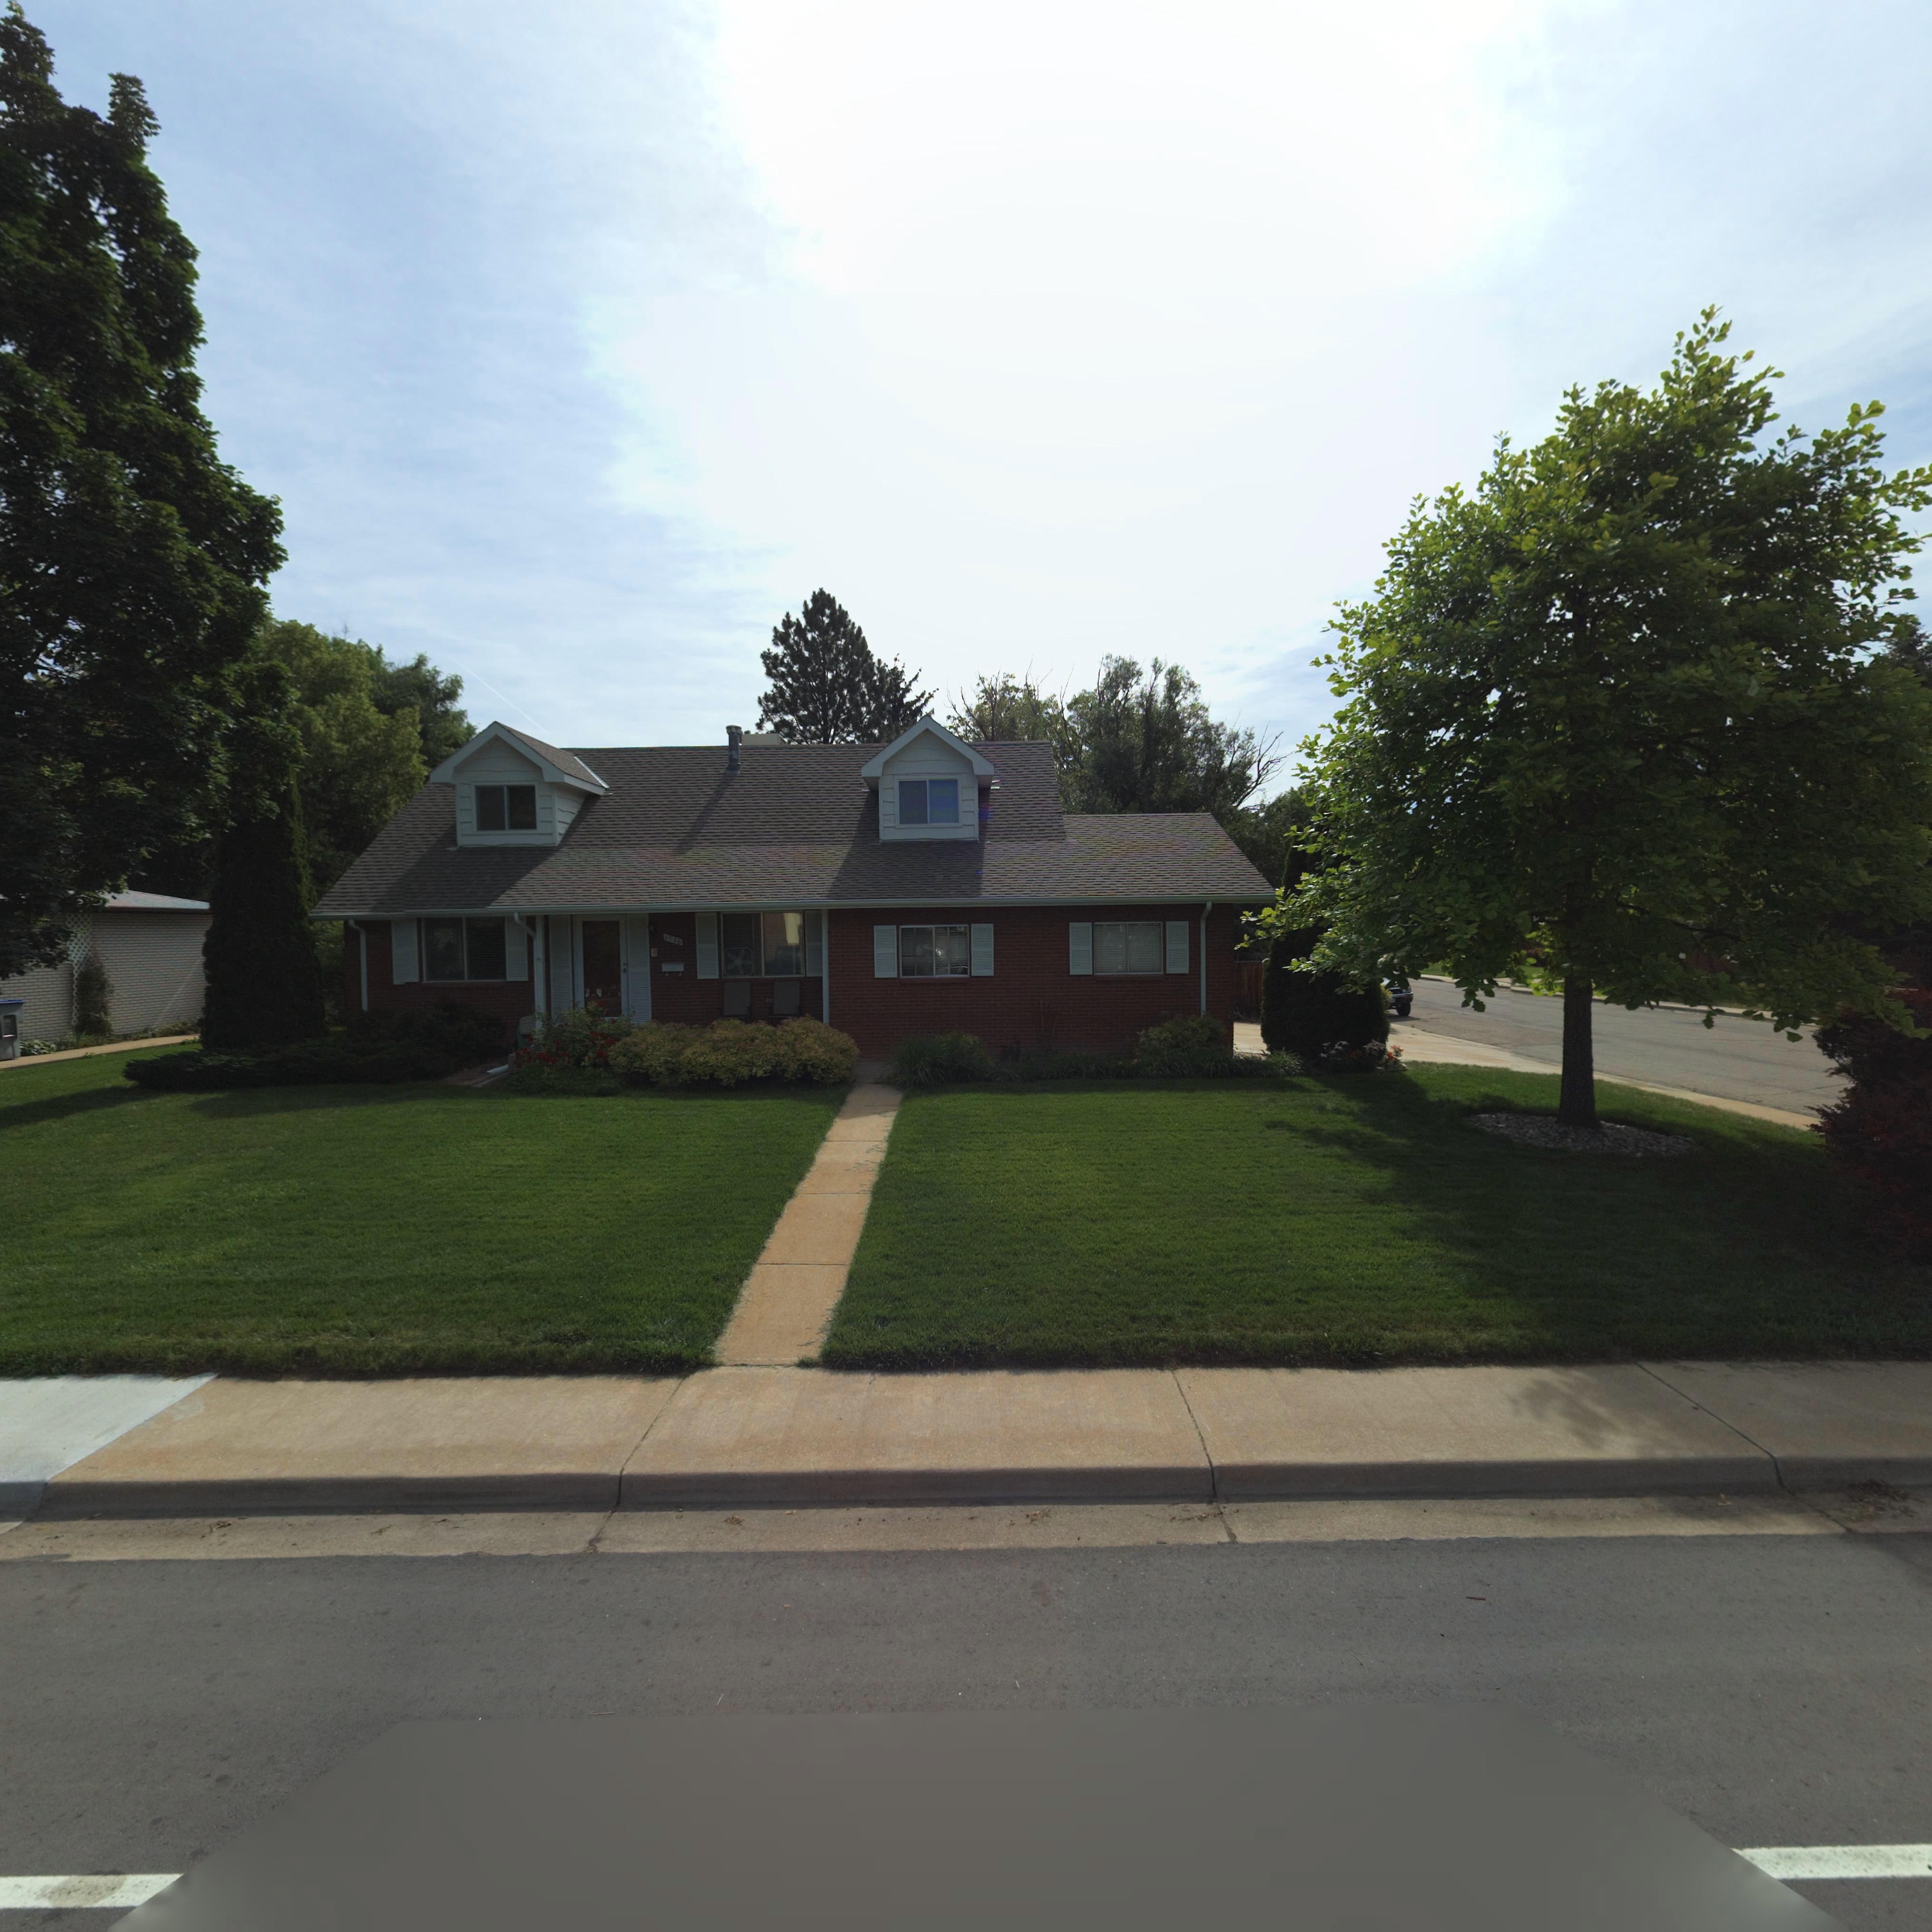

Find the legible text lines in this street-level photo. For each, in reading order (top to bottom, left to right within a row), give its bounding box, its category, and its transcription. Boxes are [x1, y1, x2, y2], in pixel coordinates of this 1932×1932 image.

[665, 934, 682, 945] StreetNumber: 1726